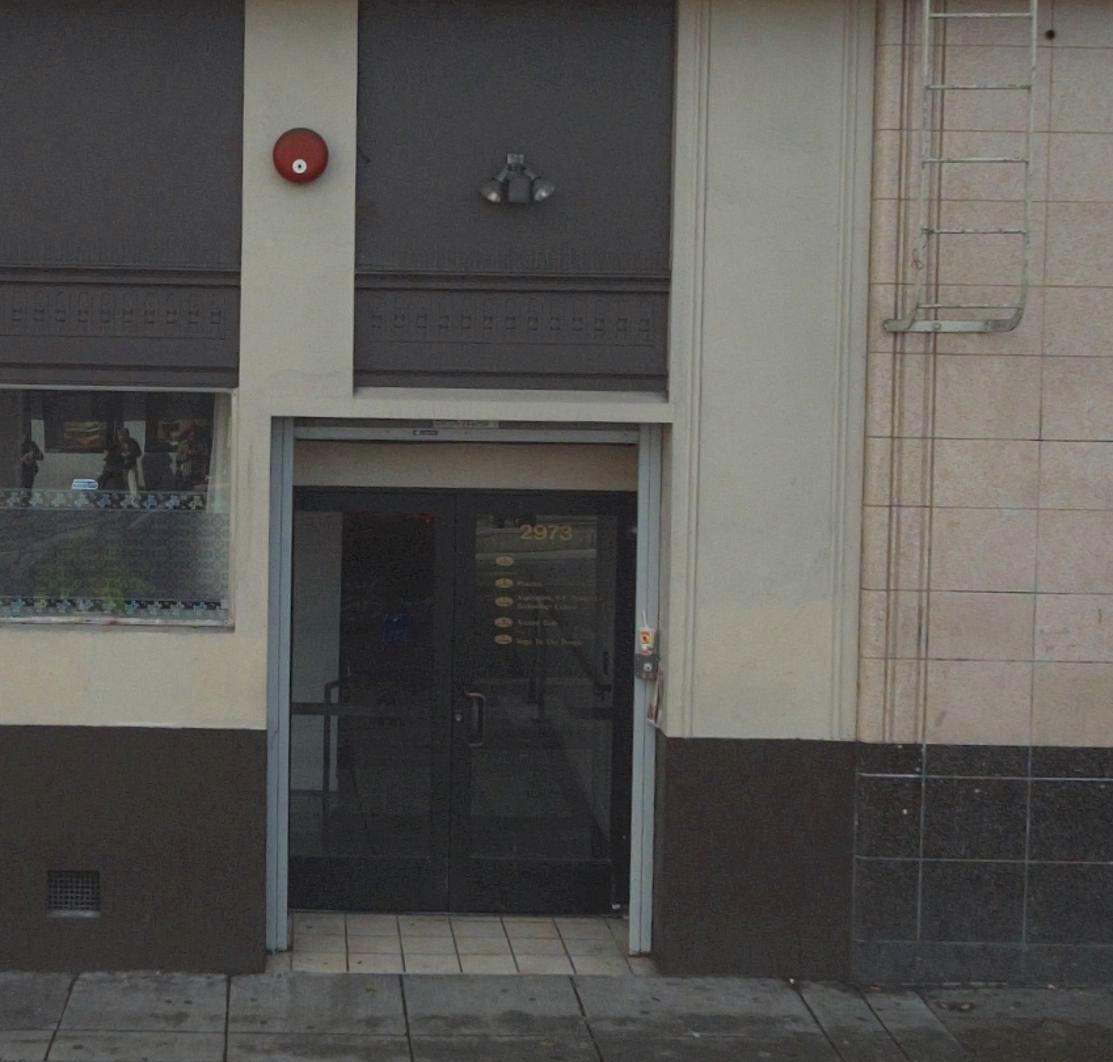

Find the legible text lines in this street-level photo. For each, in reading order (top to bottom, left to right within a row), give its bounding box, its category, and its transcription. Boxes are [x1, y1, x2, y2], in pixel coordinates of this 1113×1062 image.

[519, 524, 573, 541] StreetNumber: 2973